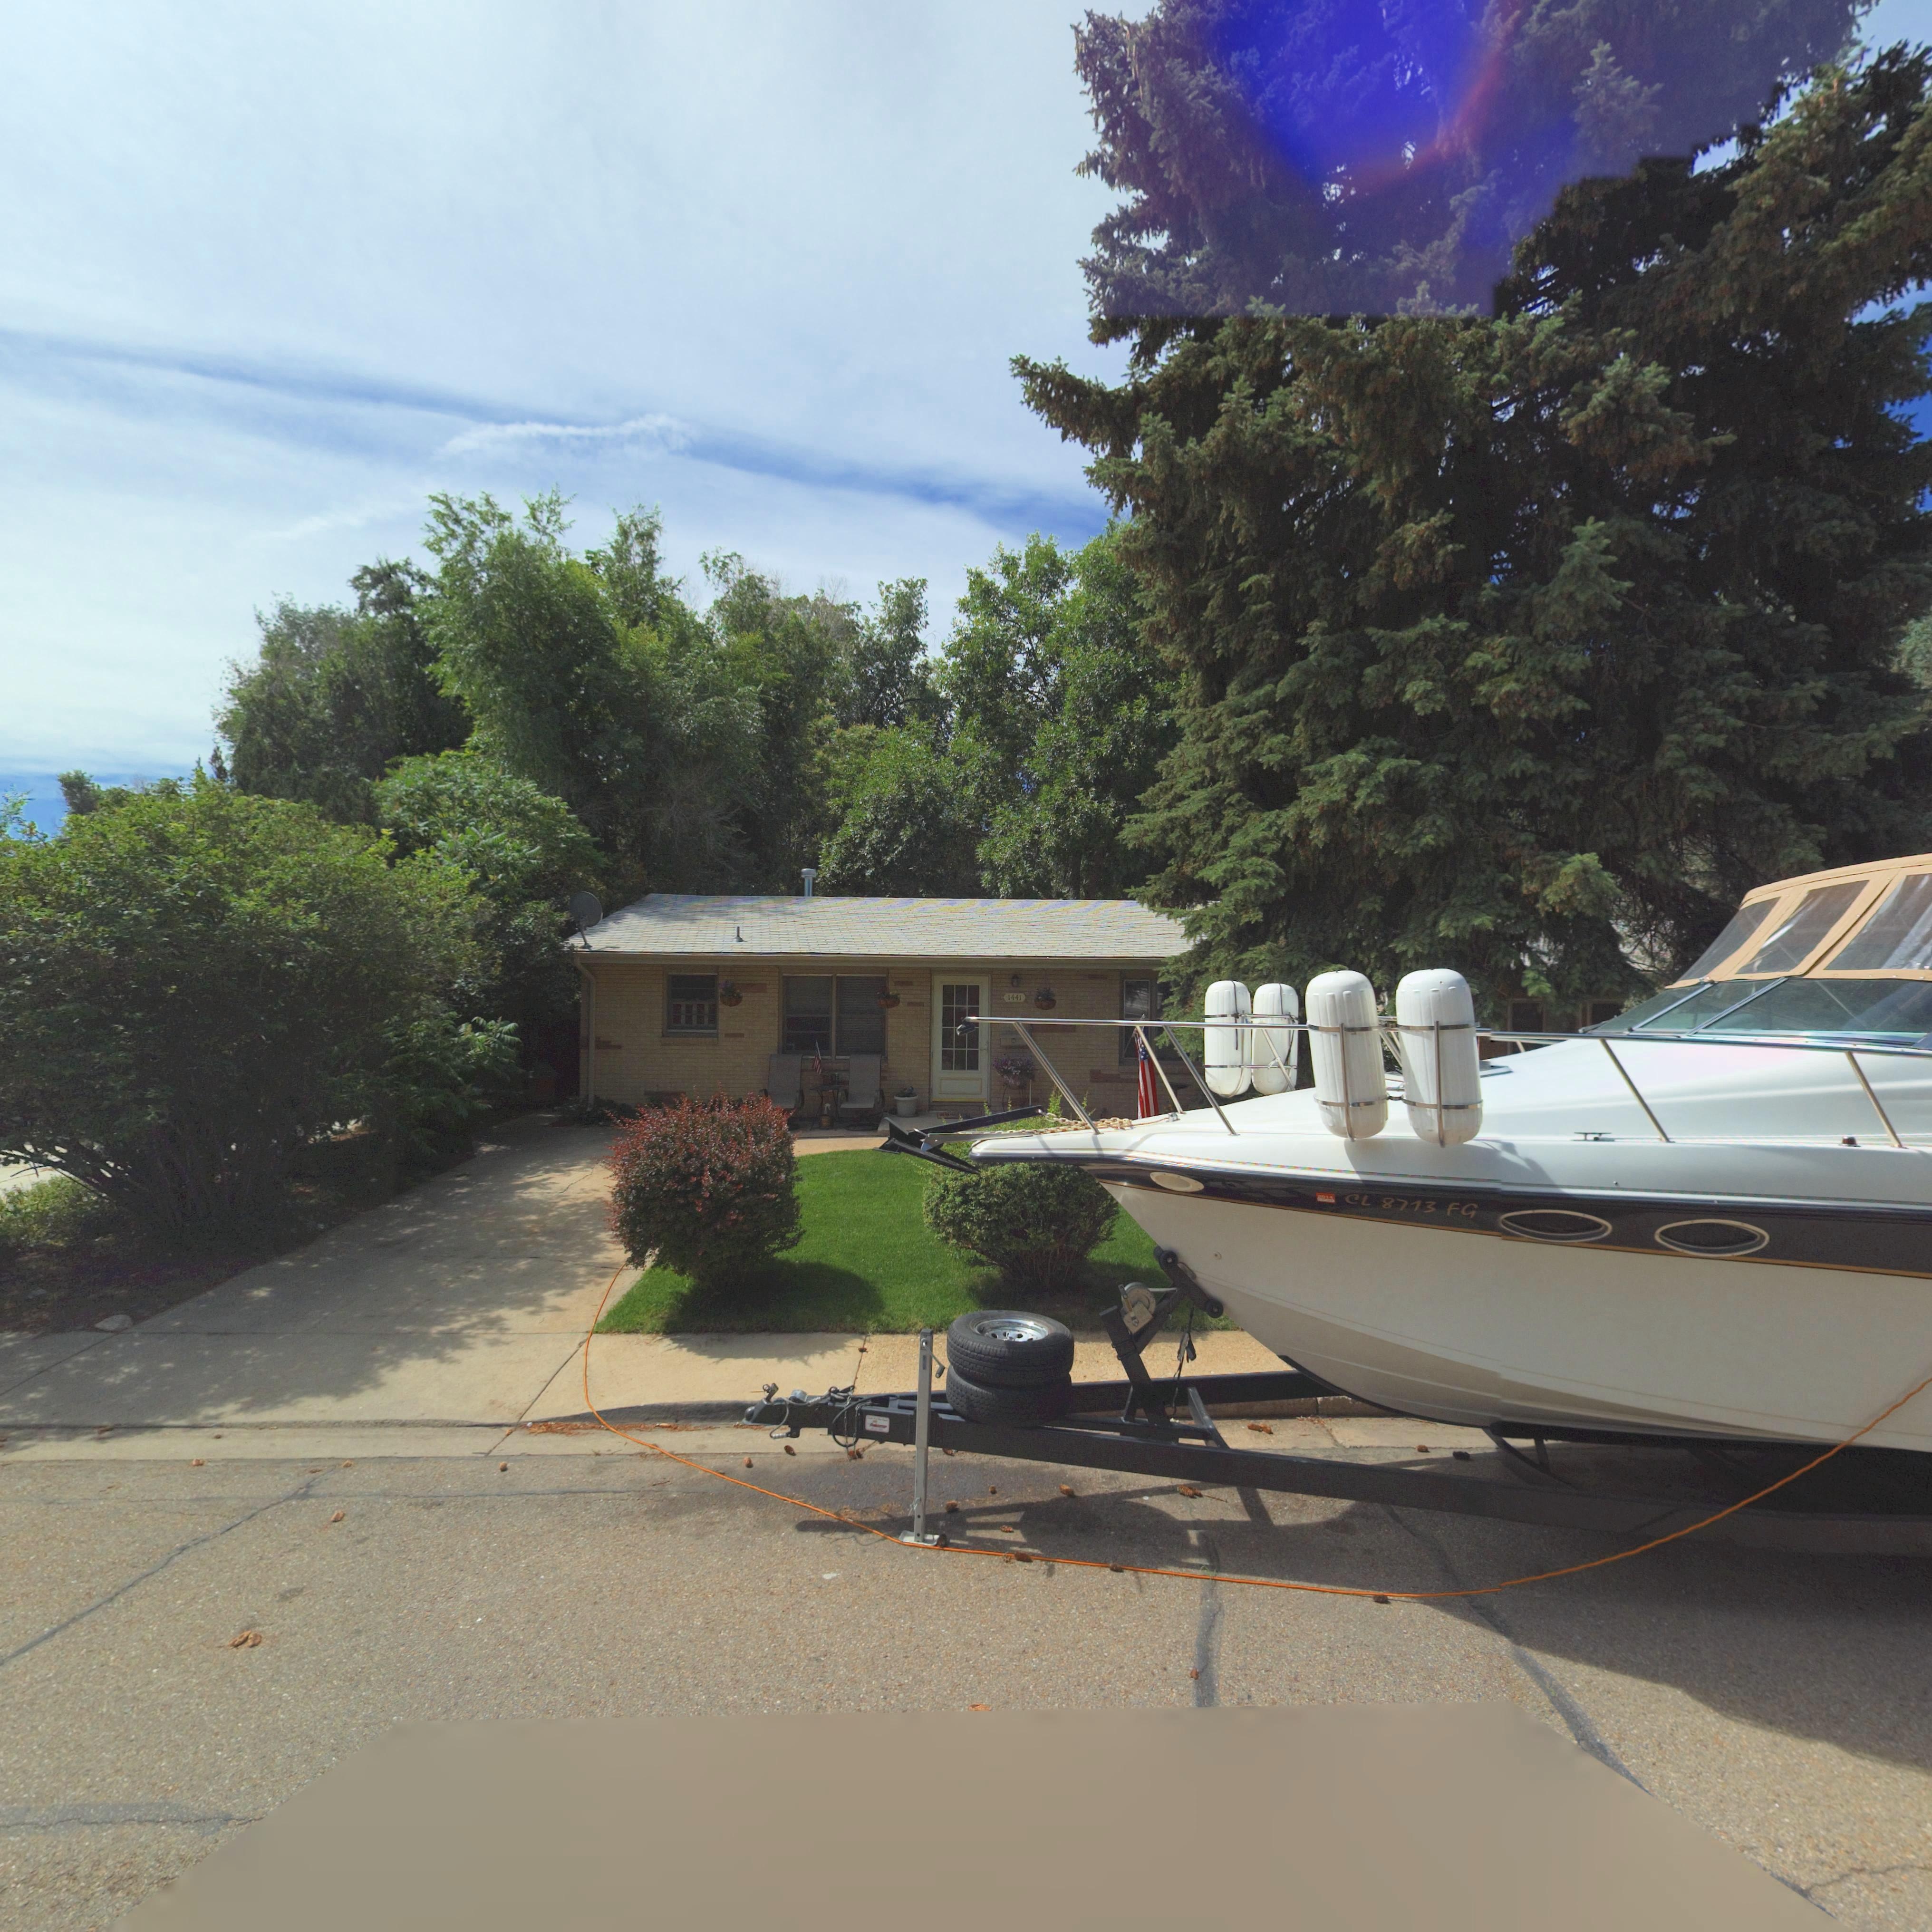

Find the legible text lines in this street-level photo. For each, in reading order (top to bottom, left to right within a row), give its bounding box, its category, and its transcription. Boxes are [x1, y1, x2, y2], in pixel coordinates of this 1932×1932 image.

[1007, 994, 1021, 1001] StreetNumber: 1441